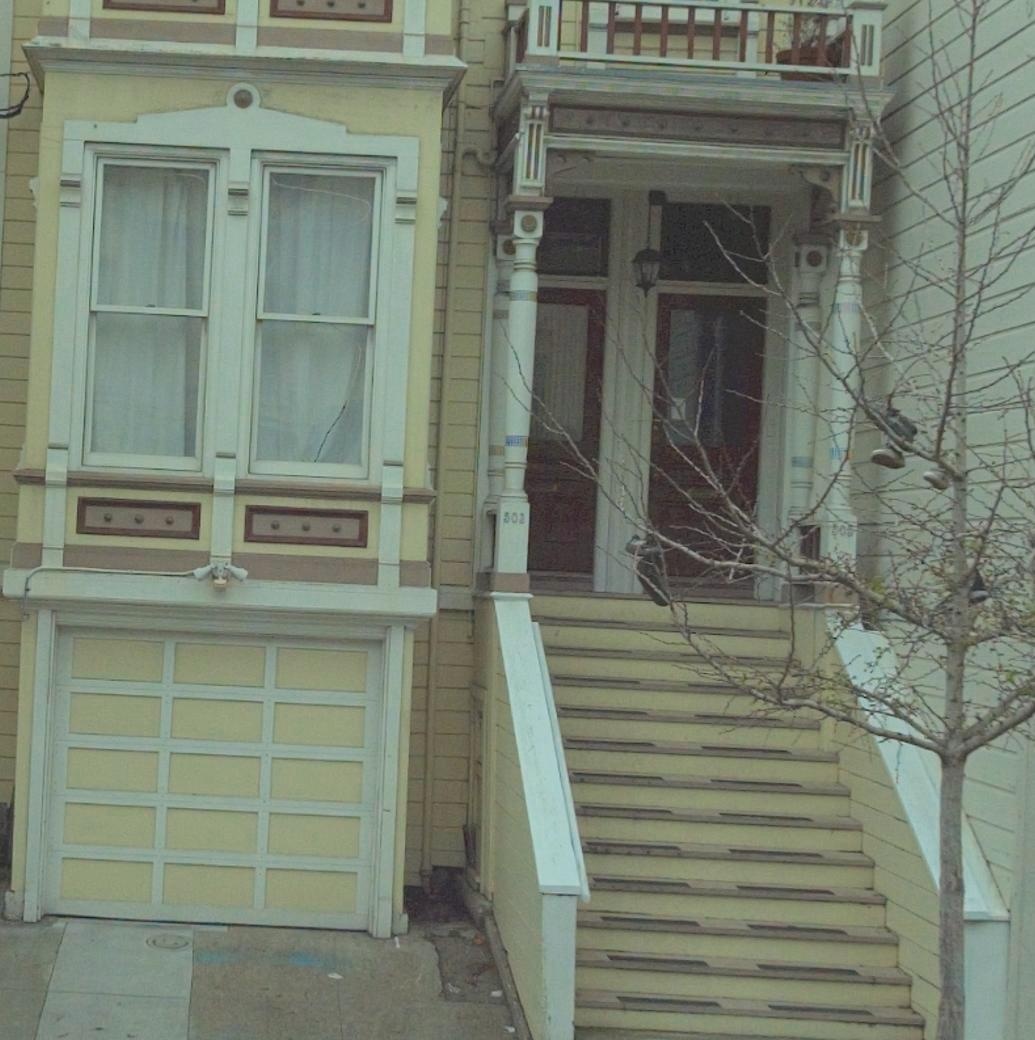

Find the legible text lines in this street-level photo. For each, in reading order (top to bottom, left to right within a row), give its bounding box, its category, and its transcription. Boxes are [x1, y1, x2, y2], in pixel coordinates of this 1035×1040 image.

[503, 511, 526, 525] StreetNumber: 503